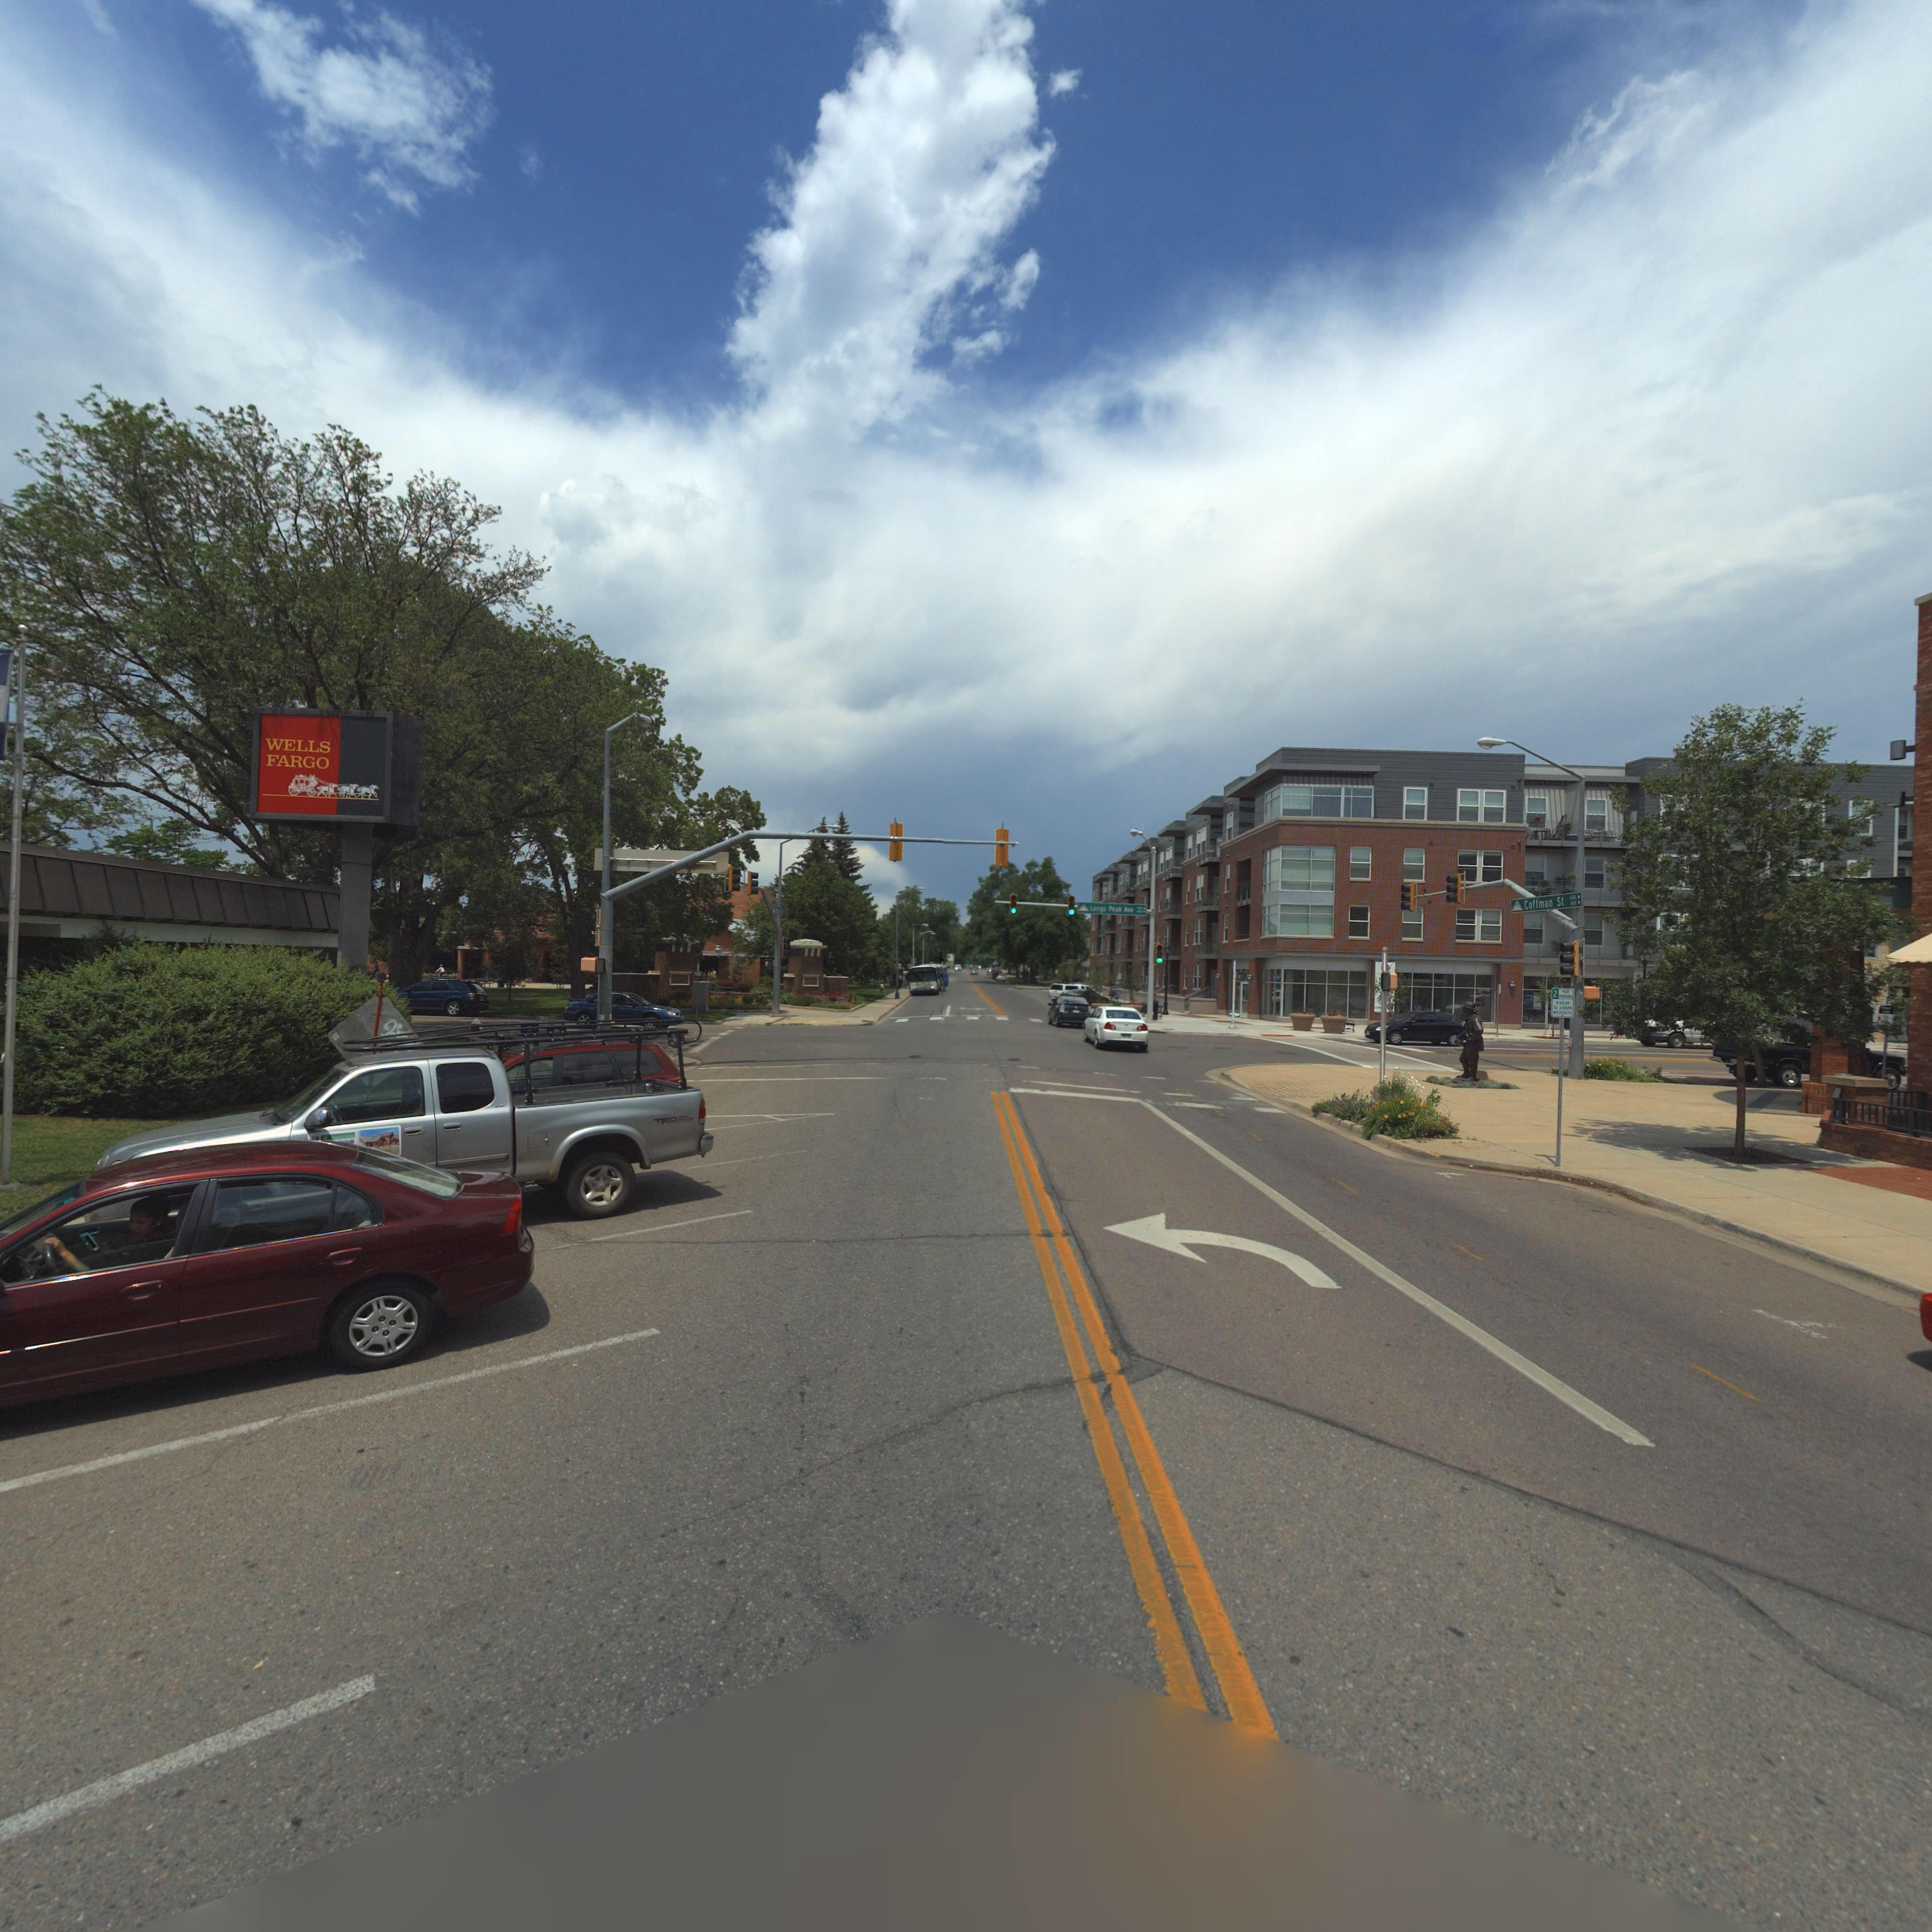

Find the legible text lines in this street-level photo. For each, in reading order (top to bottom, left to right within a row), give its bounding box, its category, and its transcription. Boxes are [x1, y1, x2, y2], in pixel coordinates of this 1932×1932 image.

[264, 737, 331, 753] BusinessName: WELLS
[265, 753, 330, 770] BusinessName: FARGO
[1090, 905, 1134, 913] StreetName: Longs Peak Ave
[1524, 896, 1565, 910] StreetName: Coffman St
[1568, 894, 1576, 900] StreetNumberRange: **0
[1570, 900, 1580, 905] StreetNumberRange: 600 ->